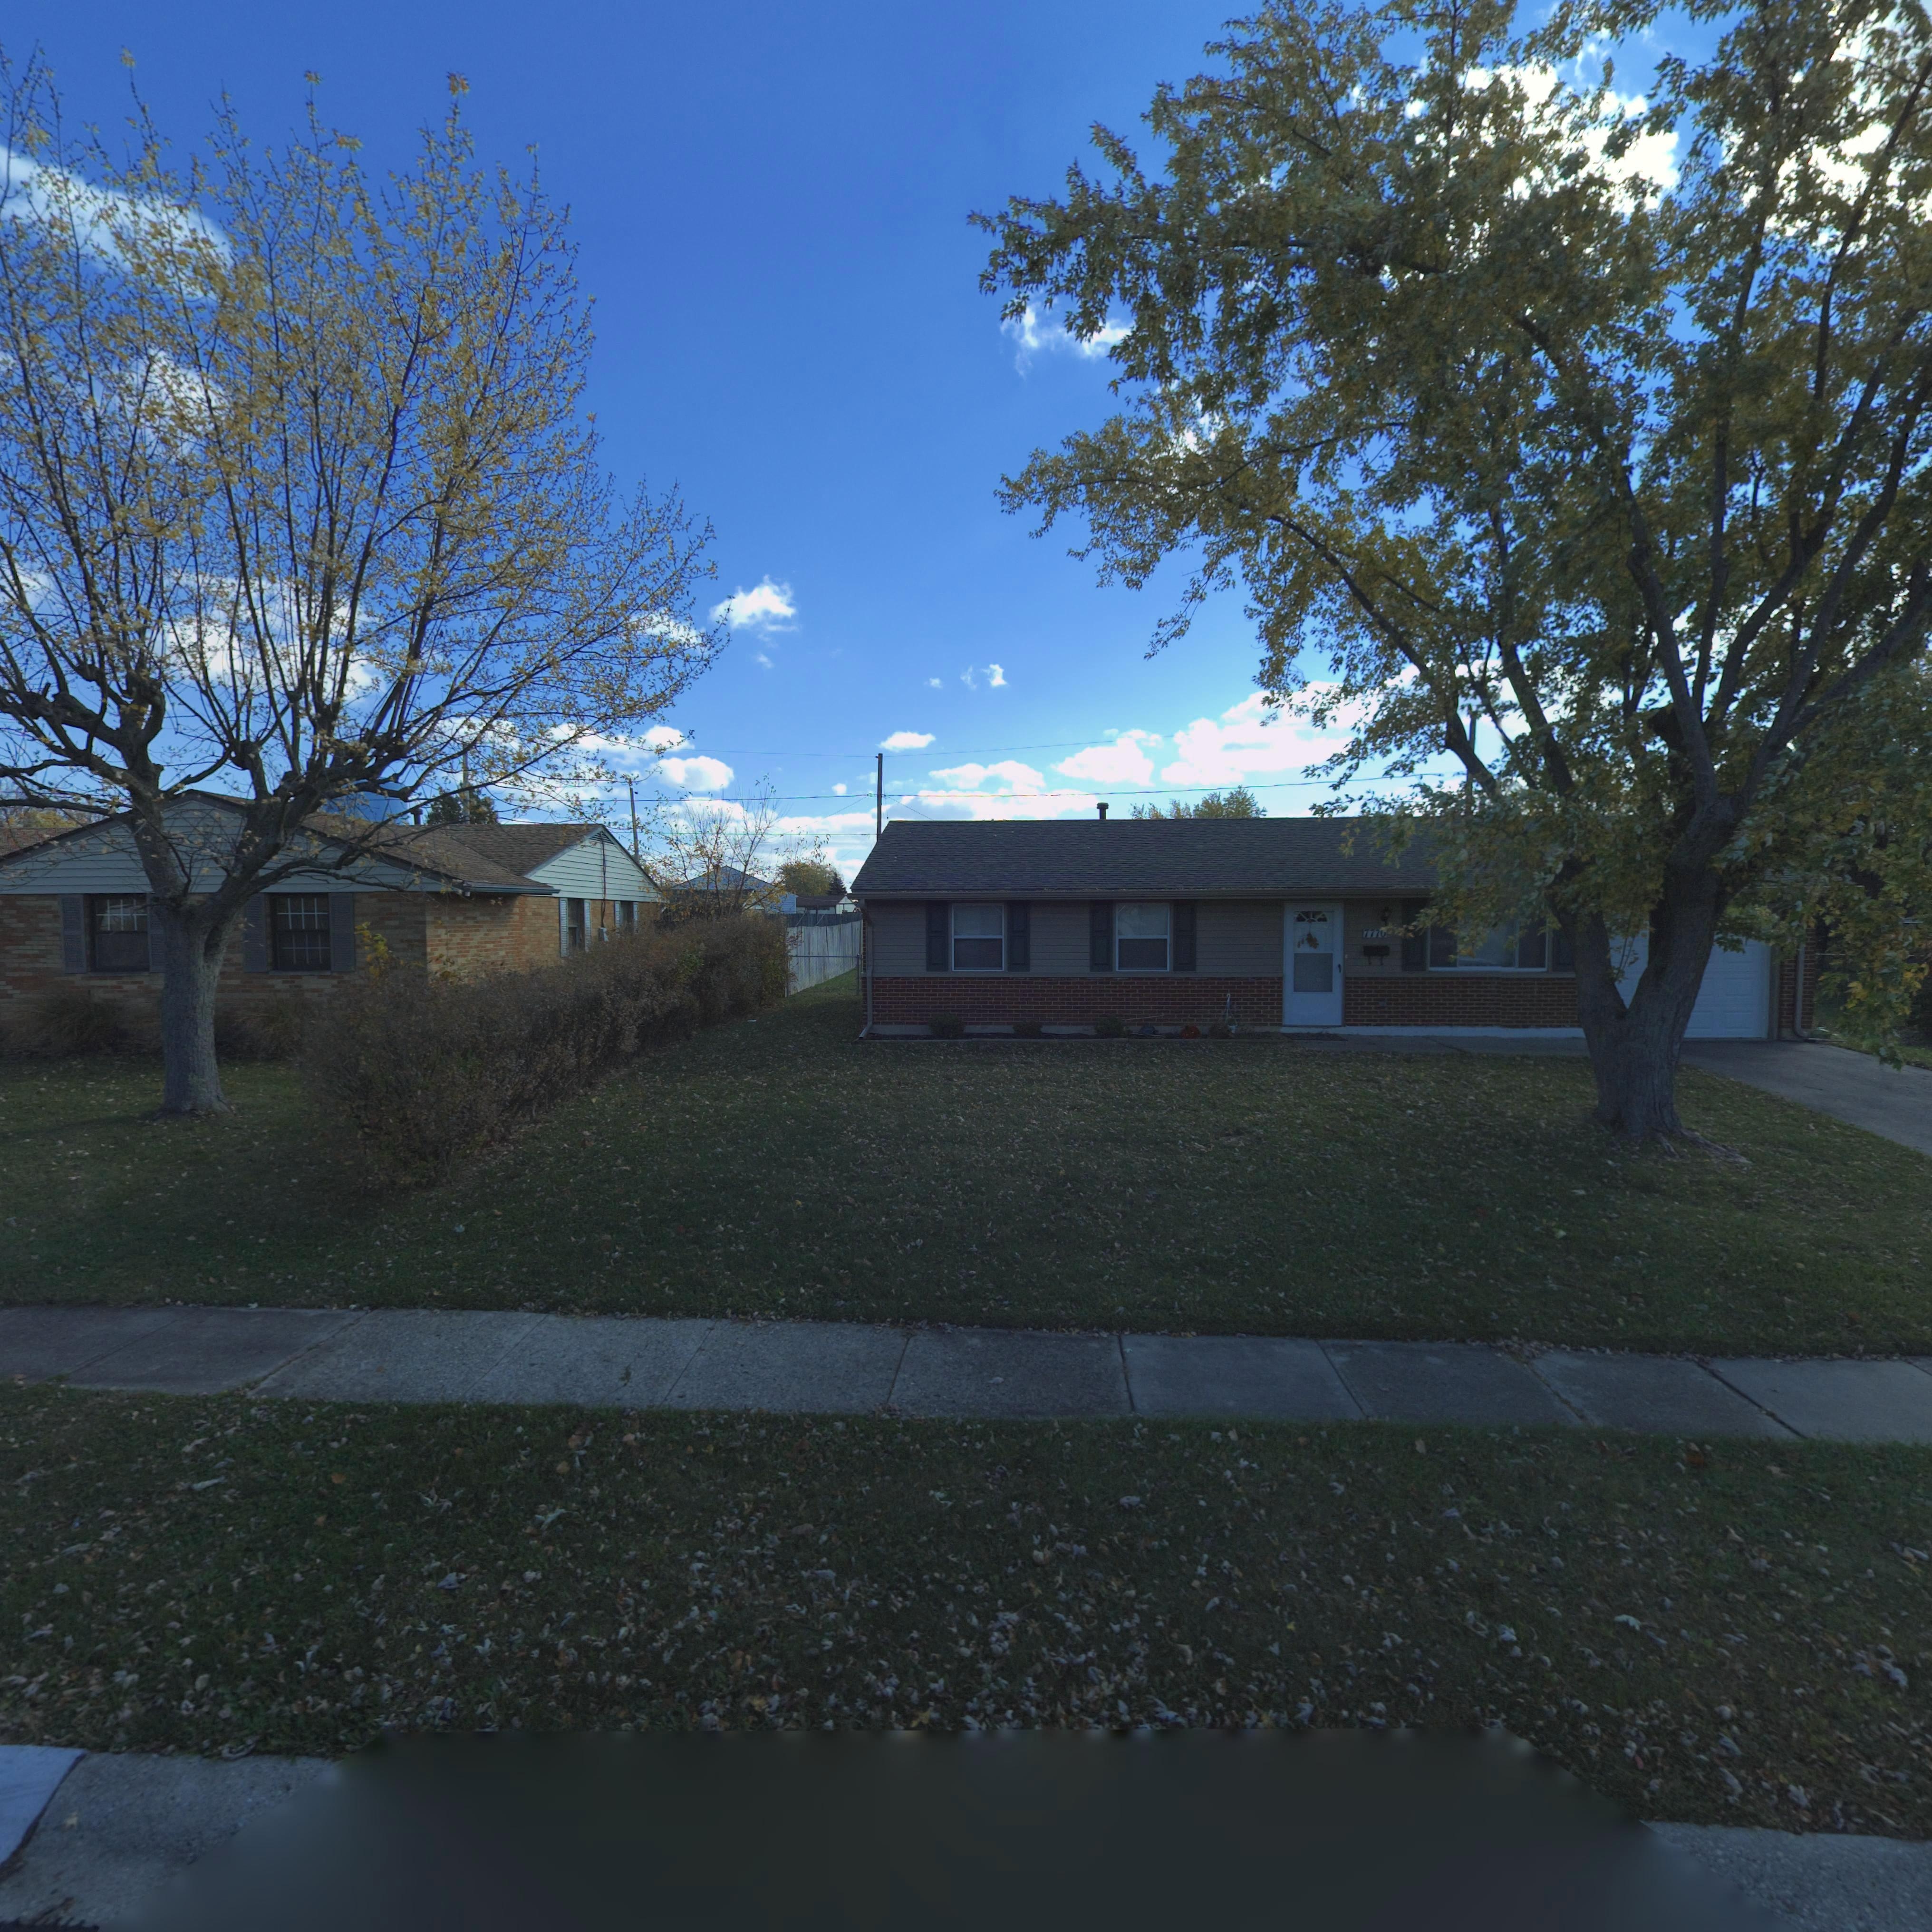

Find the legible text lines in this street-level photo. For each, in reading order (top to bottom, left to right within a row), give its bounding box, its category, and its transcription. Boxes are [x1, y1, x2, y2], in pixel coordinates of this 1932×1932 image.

[1363, 928, 1380, 938] StreetNumber: 777